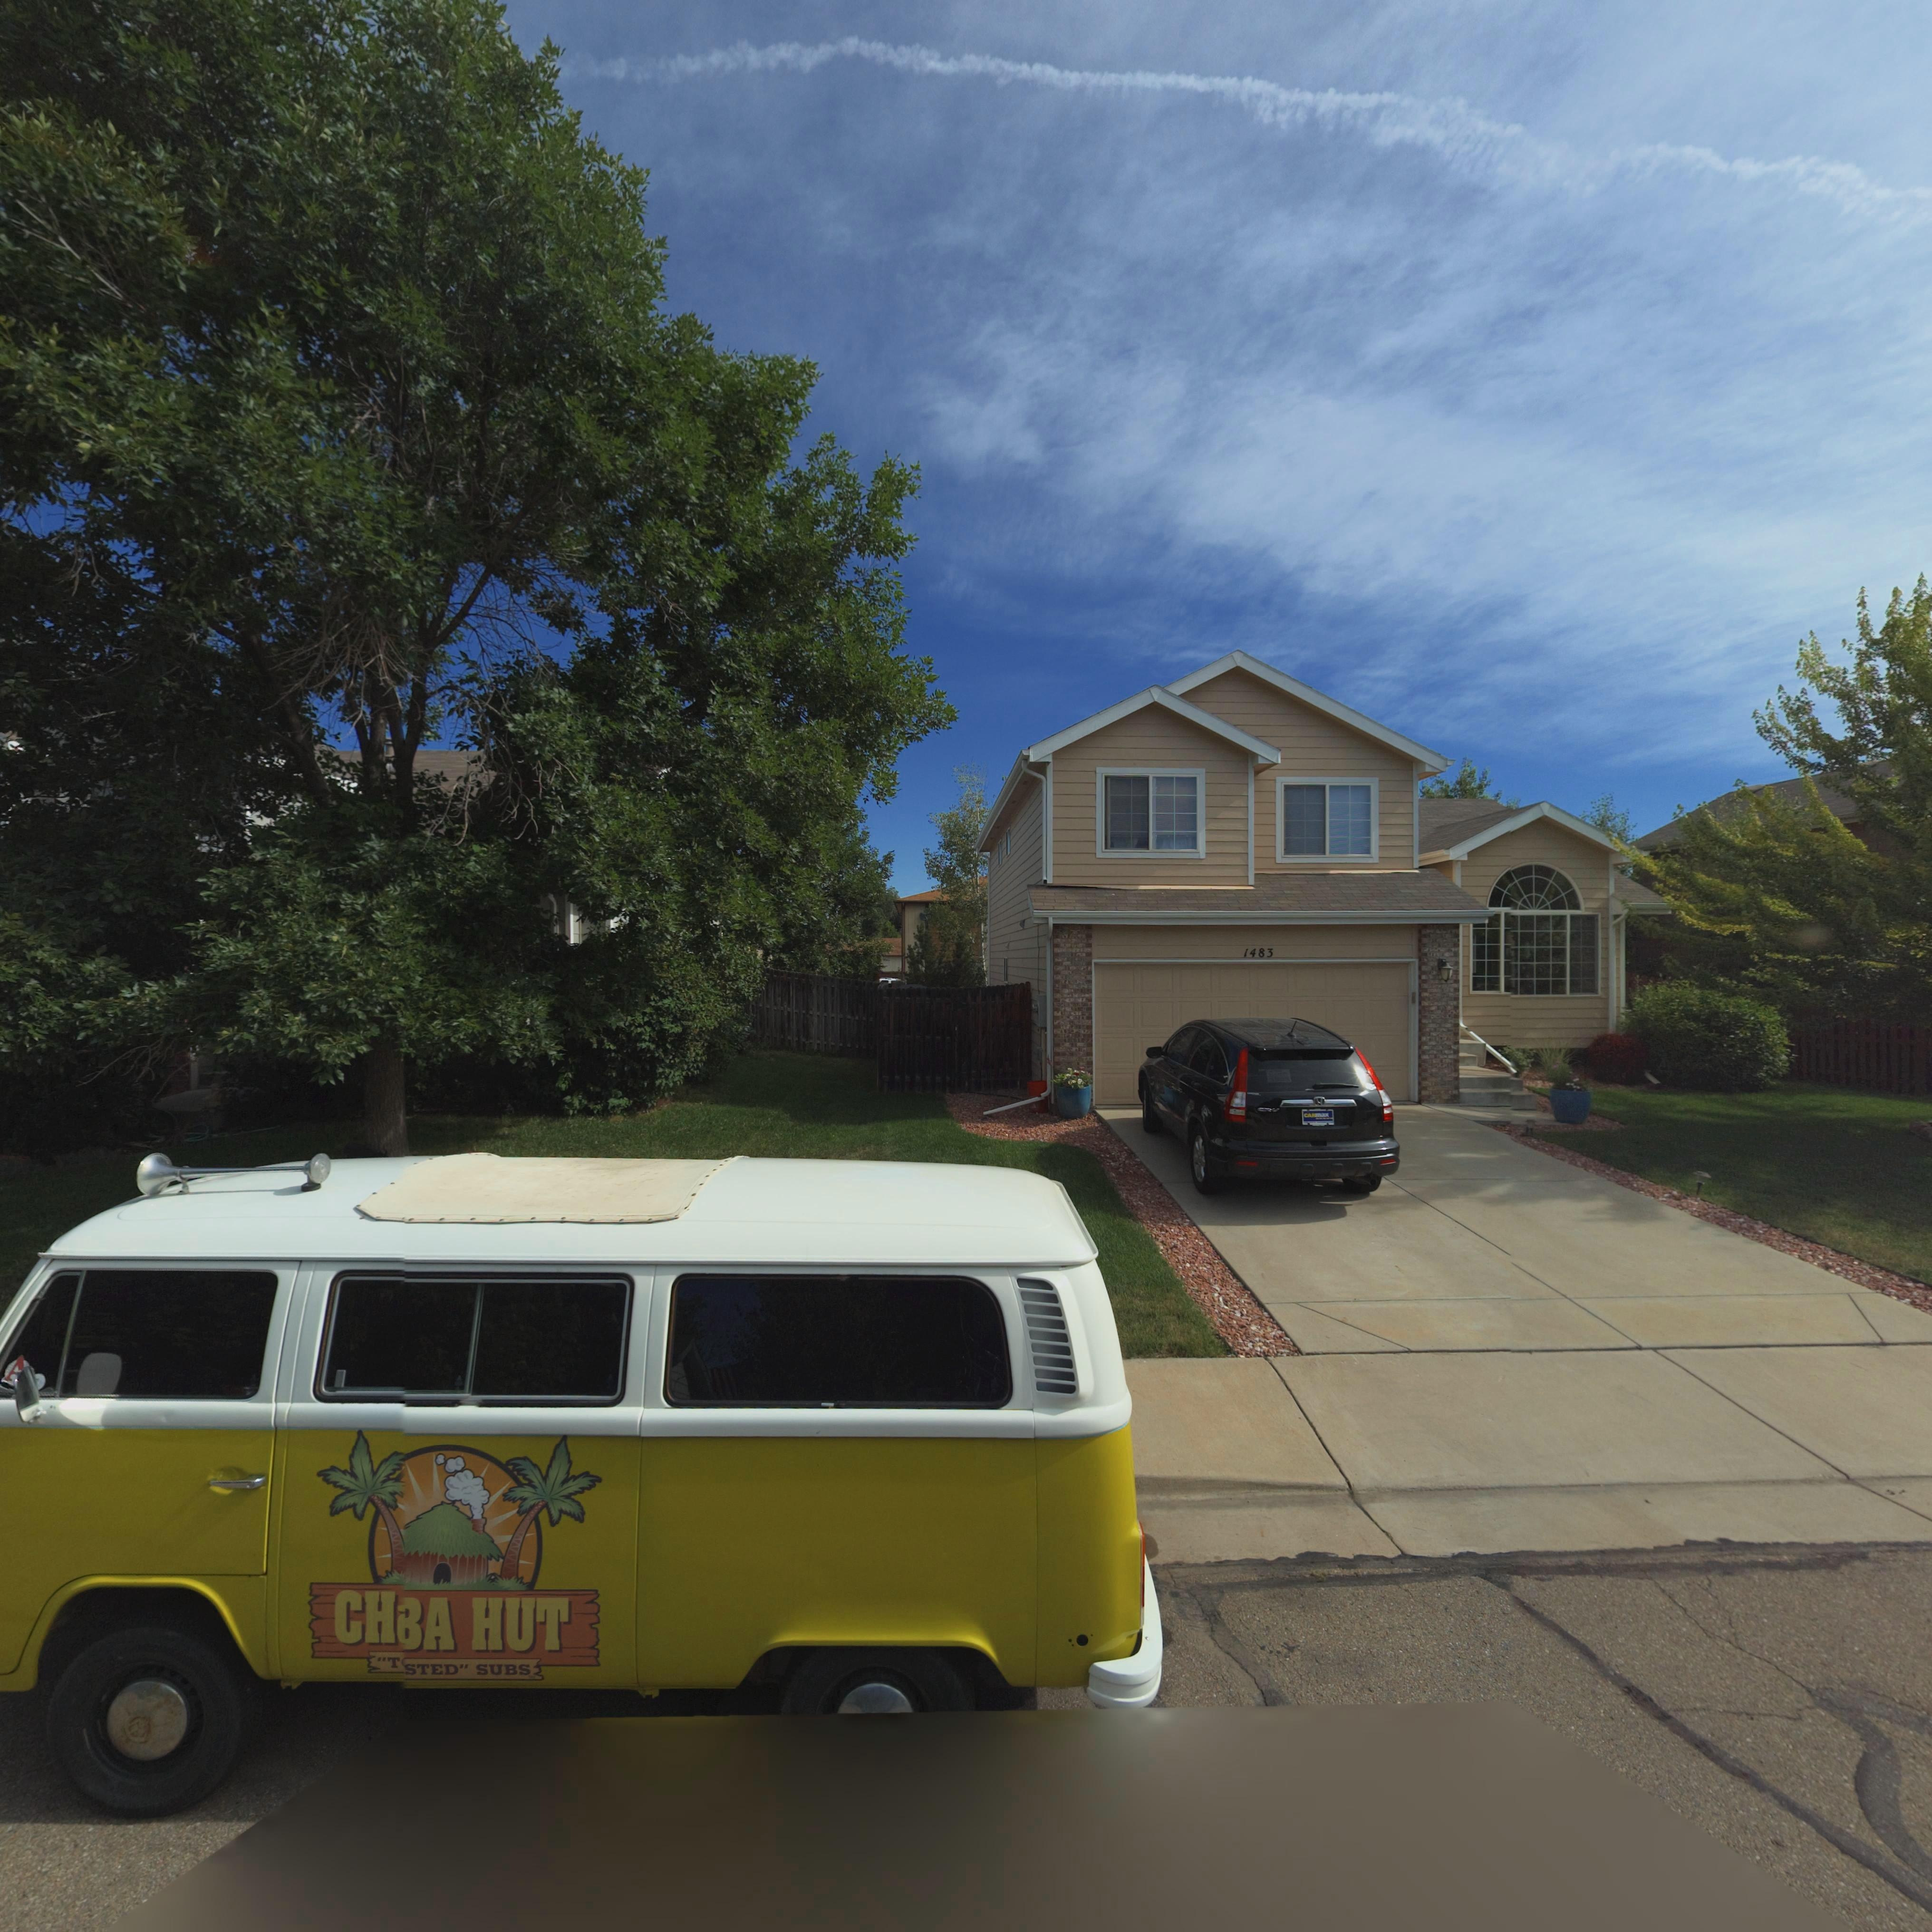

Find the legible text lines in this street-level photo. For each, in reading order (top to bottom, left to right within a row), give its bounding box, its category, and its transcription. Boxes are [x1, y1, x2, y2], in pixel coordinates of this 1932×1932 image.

[1242, 947, 1273, 957] StreetNumber: 1483